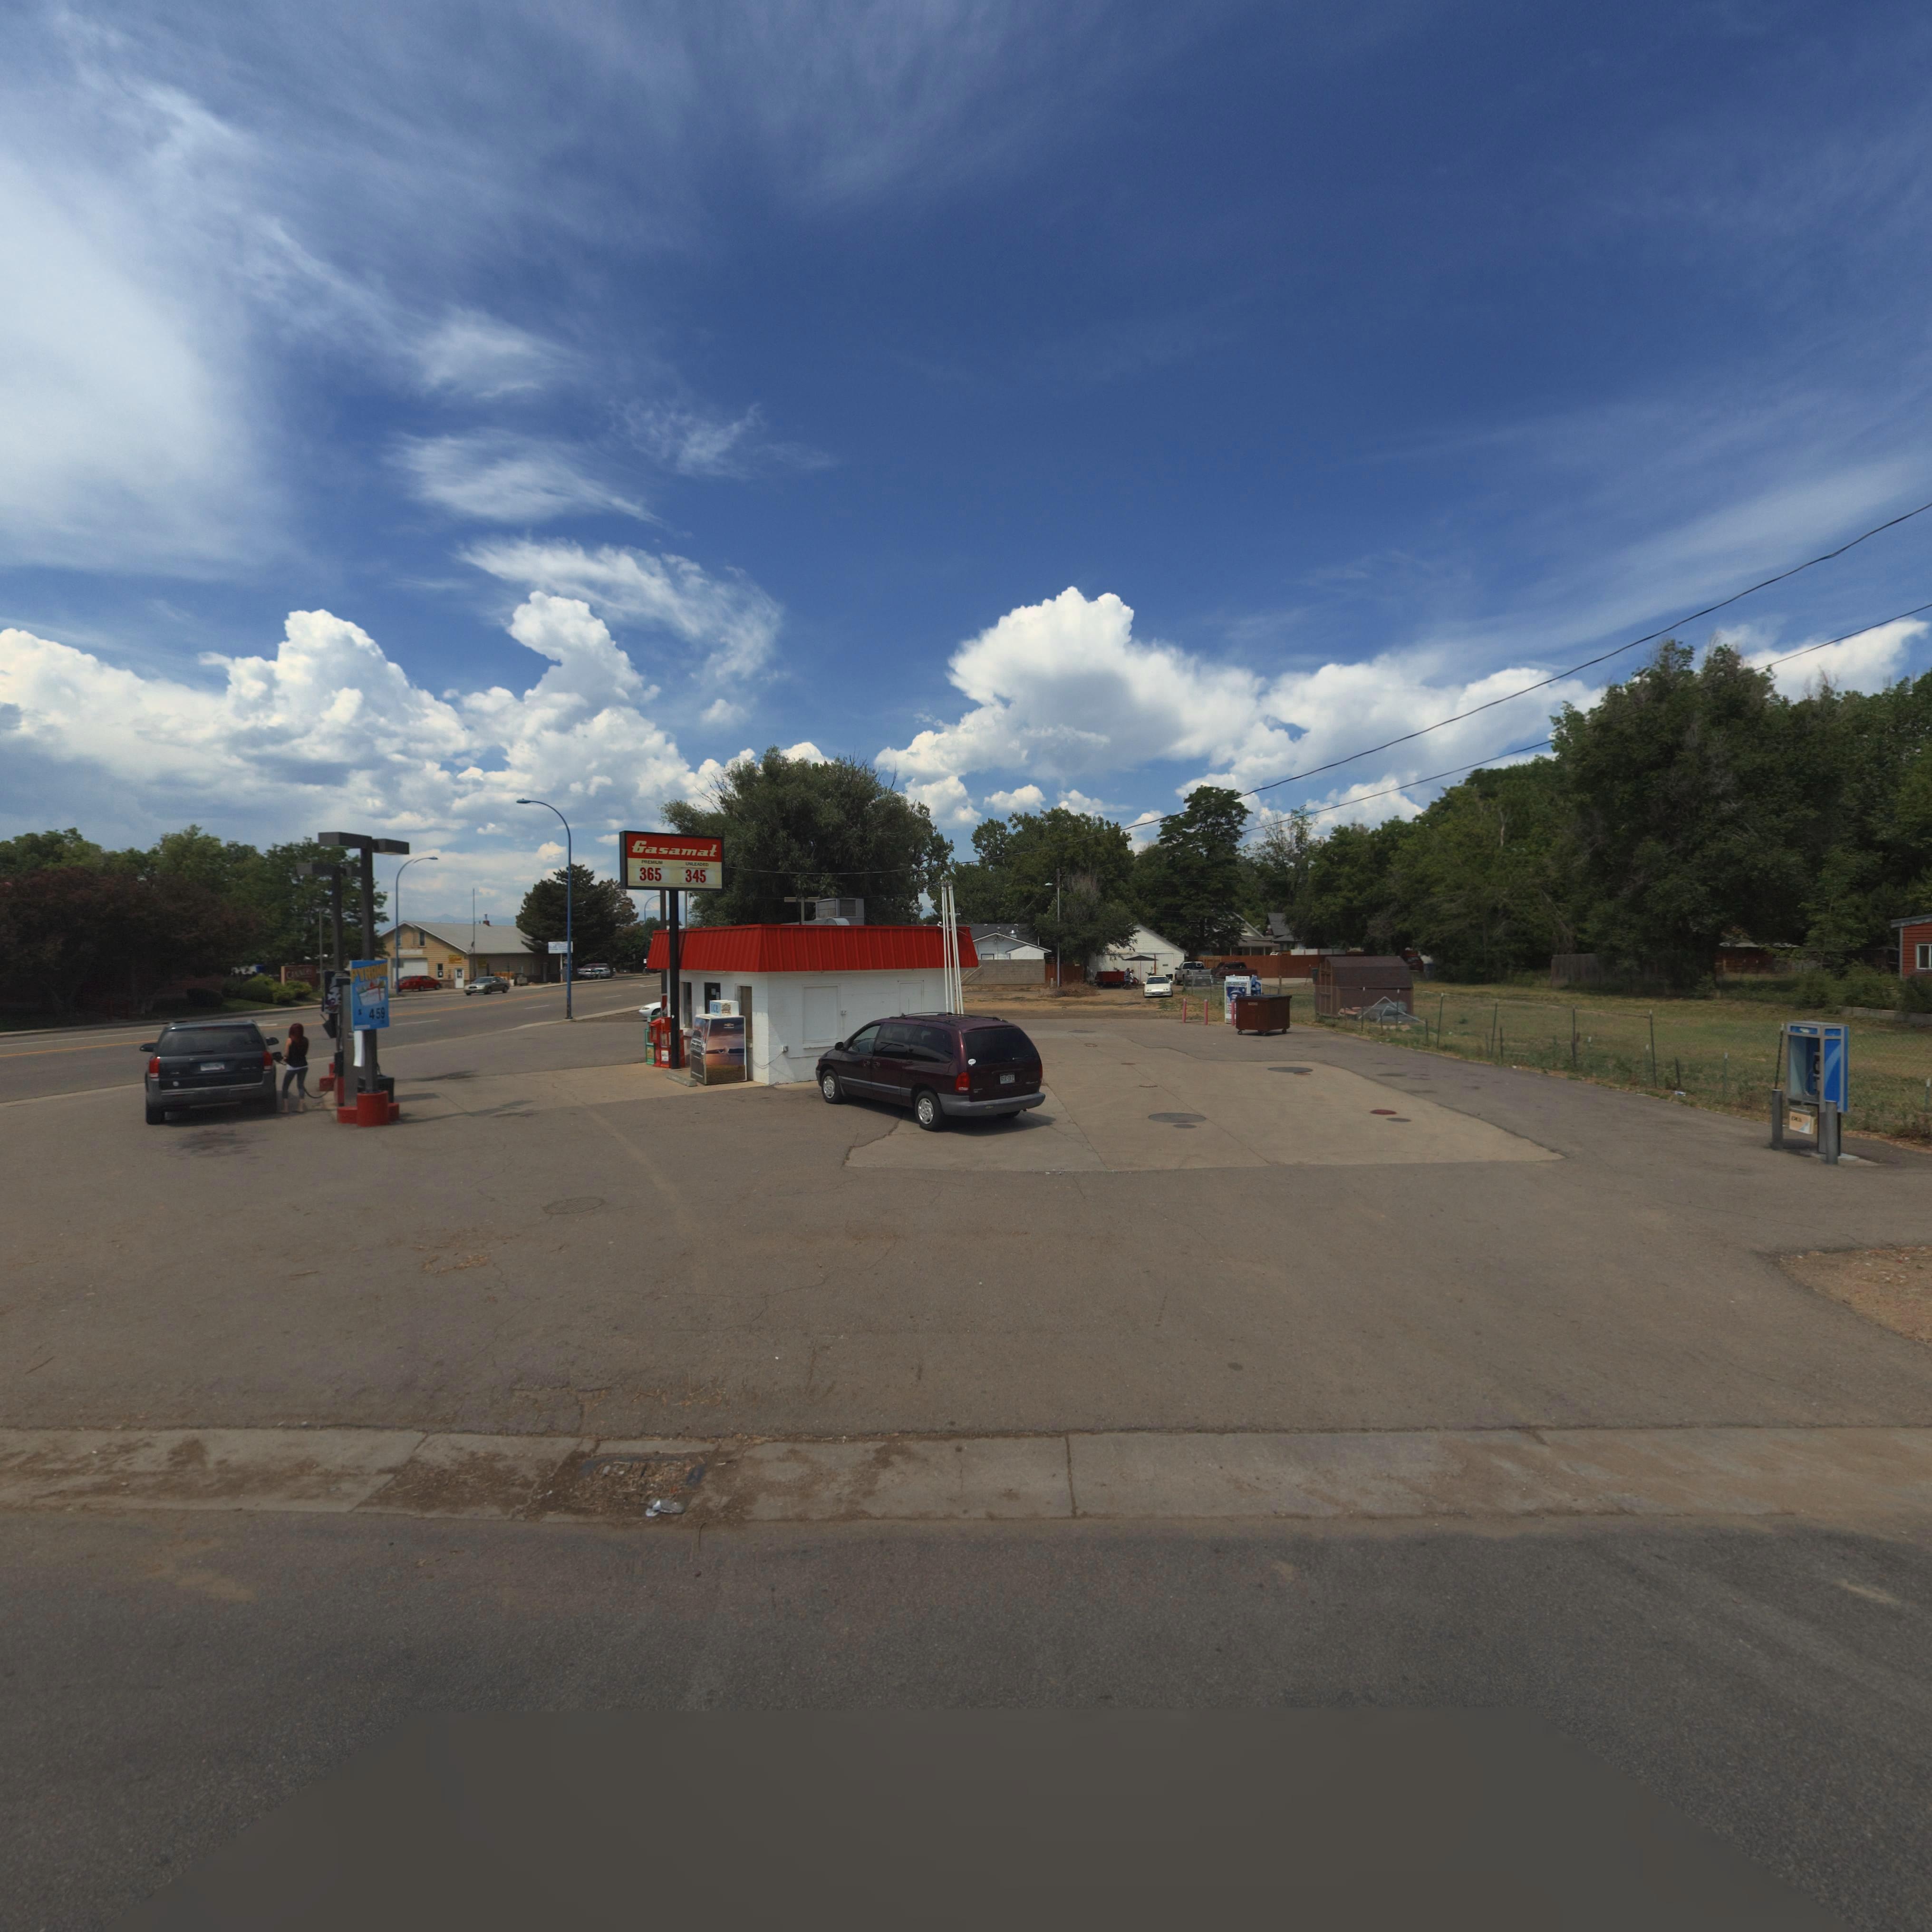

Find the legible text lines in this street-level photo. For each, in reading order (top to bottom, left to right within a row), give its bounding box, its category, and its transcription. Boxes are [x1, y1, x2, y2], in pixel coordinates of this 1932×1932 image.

[629, 839, 720, 858] BusinessName: Gasamat